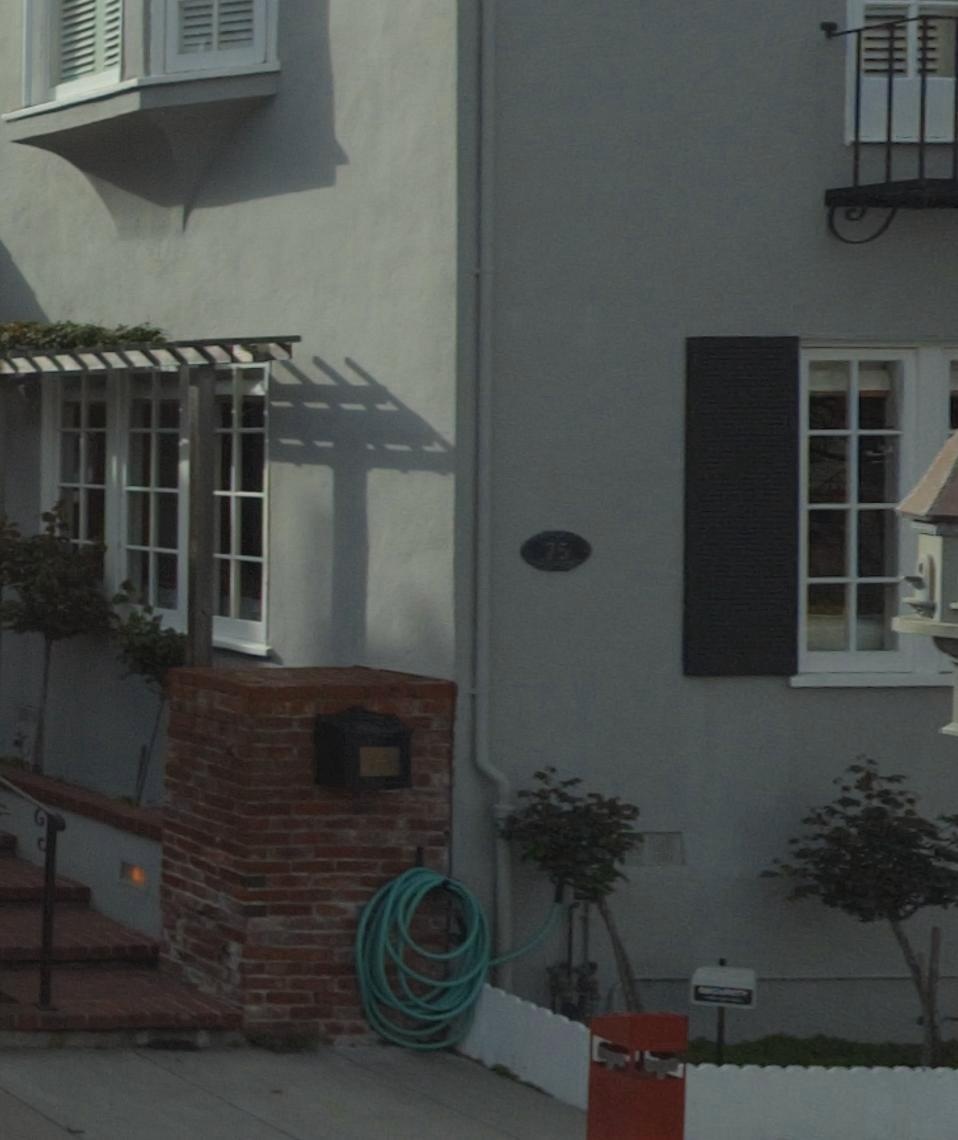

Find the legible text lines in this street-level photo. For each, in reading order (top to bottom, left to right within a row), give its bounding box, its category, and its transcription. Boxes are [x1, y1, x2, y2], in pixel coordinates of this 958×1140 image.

[543, 540, 571, 561] StreetNumber: 75